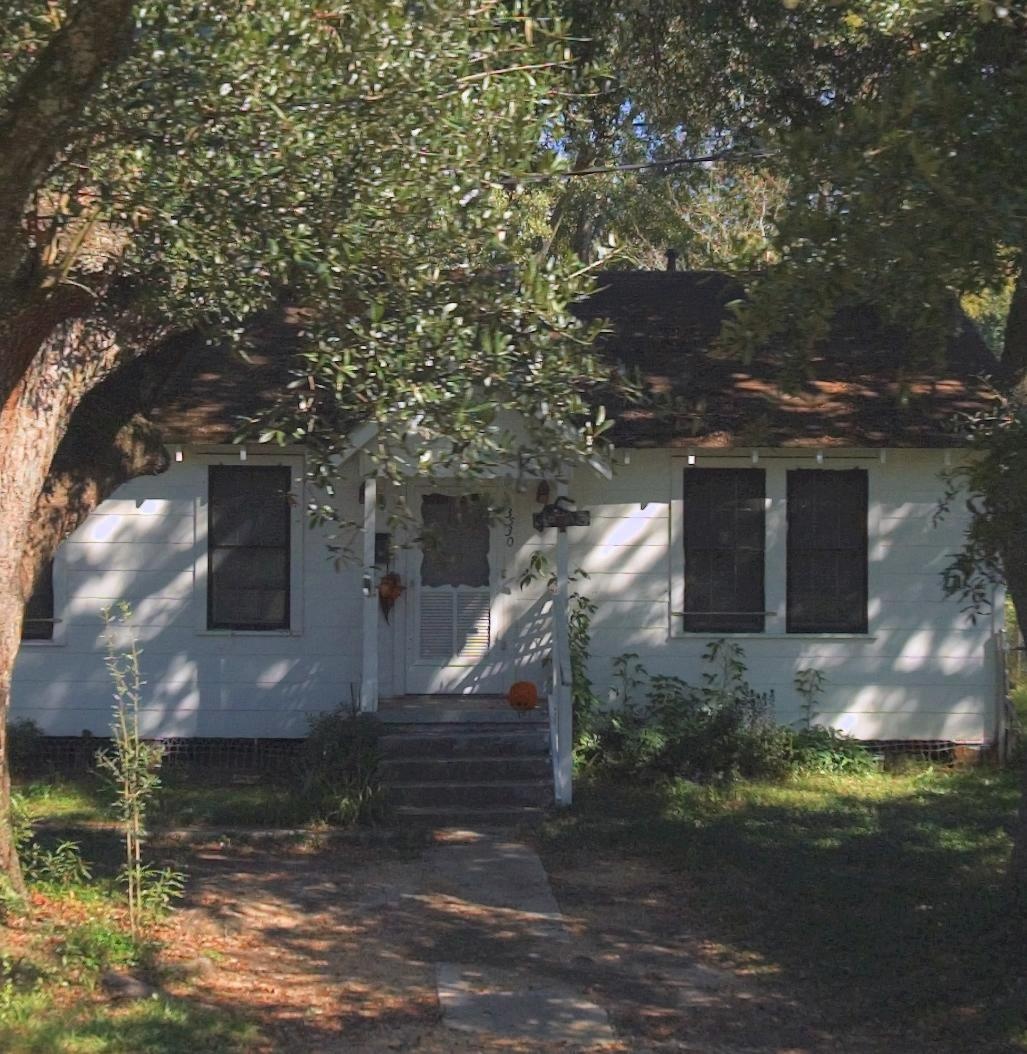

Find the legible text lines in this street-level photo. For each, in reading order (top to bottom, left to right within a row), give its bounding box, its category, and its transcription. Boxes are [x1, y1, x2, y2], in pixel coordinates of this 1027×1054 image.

[503, 506, 516, 548] StreetNumber: 3530